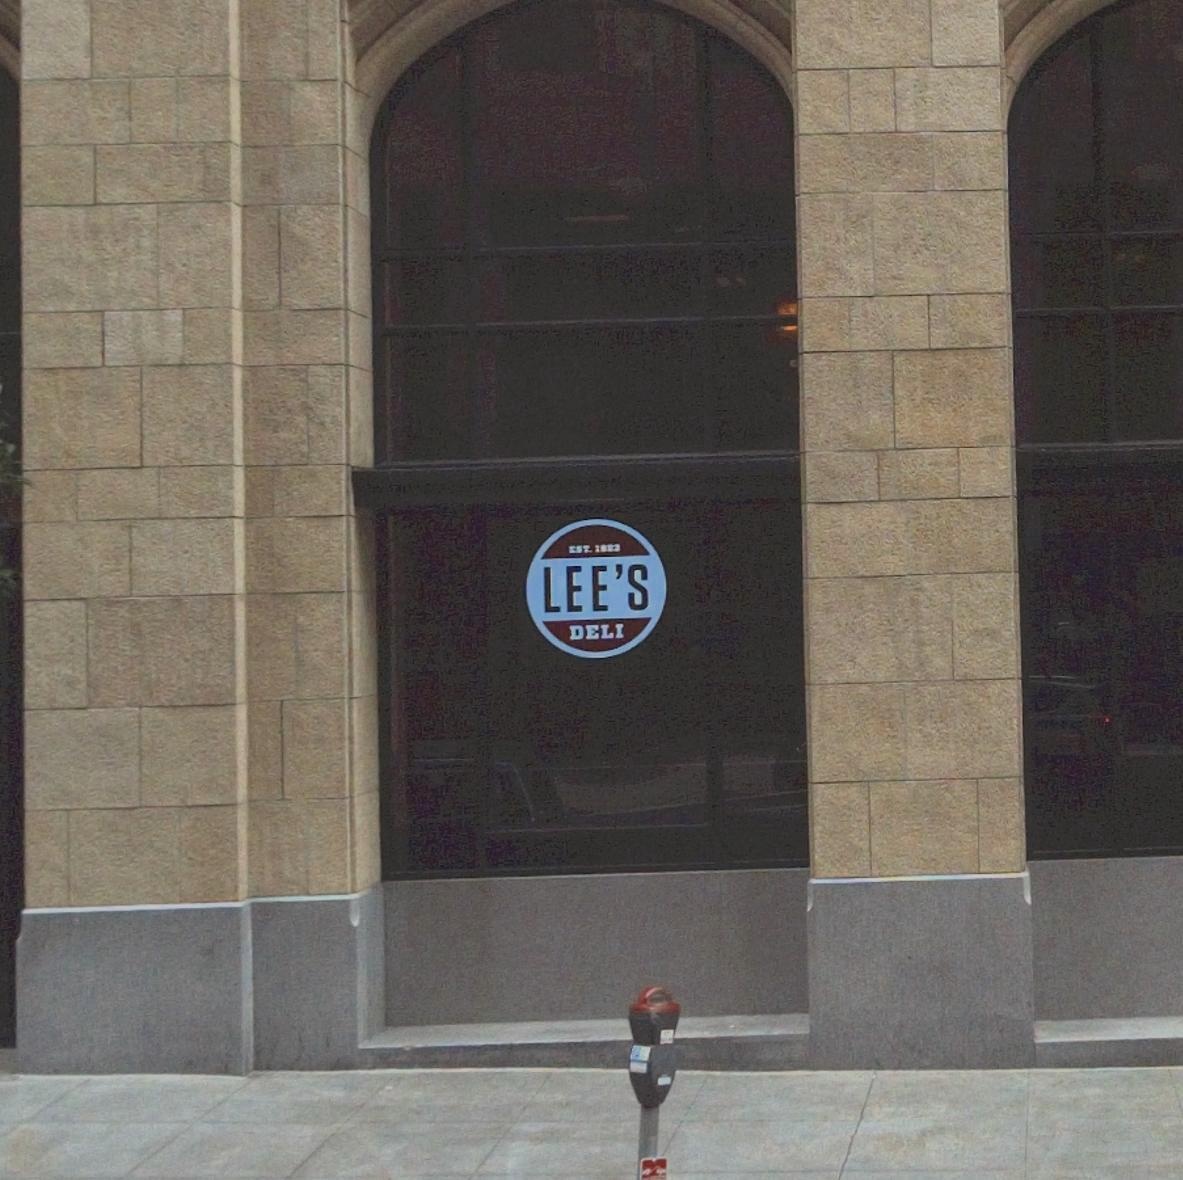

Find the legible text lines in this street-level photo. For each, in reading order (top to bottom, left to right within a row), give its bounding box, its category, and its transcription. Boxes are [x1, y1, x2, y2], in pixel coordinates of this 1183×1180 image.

[540, 560, 653, 616] BusinessName: LEE'S
[566, 621, 627, 643] None: DELI